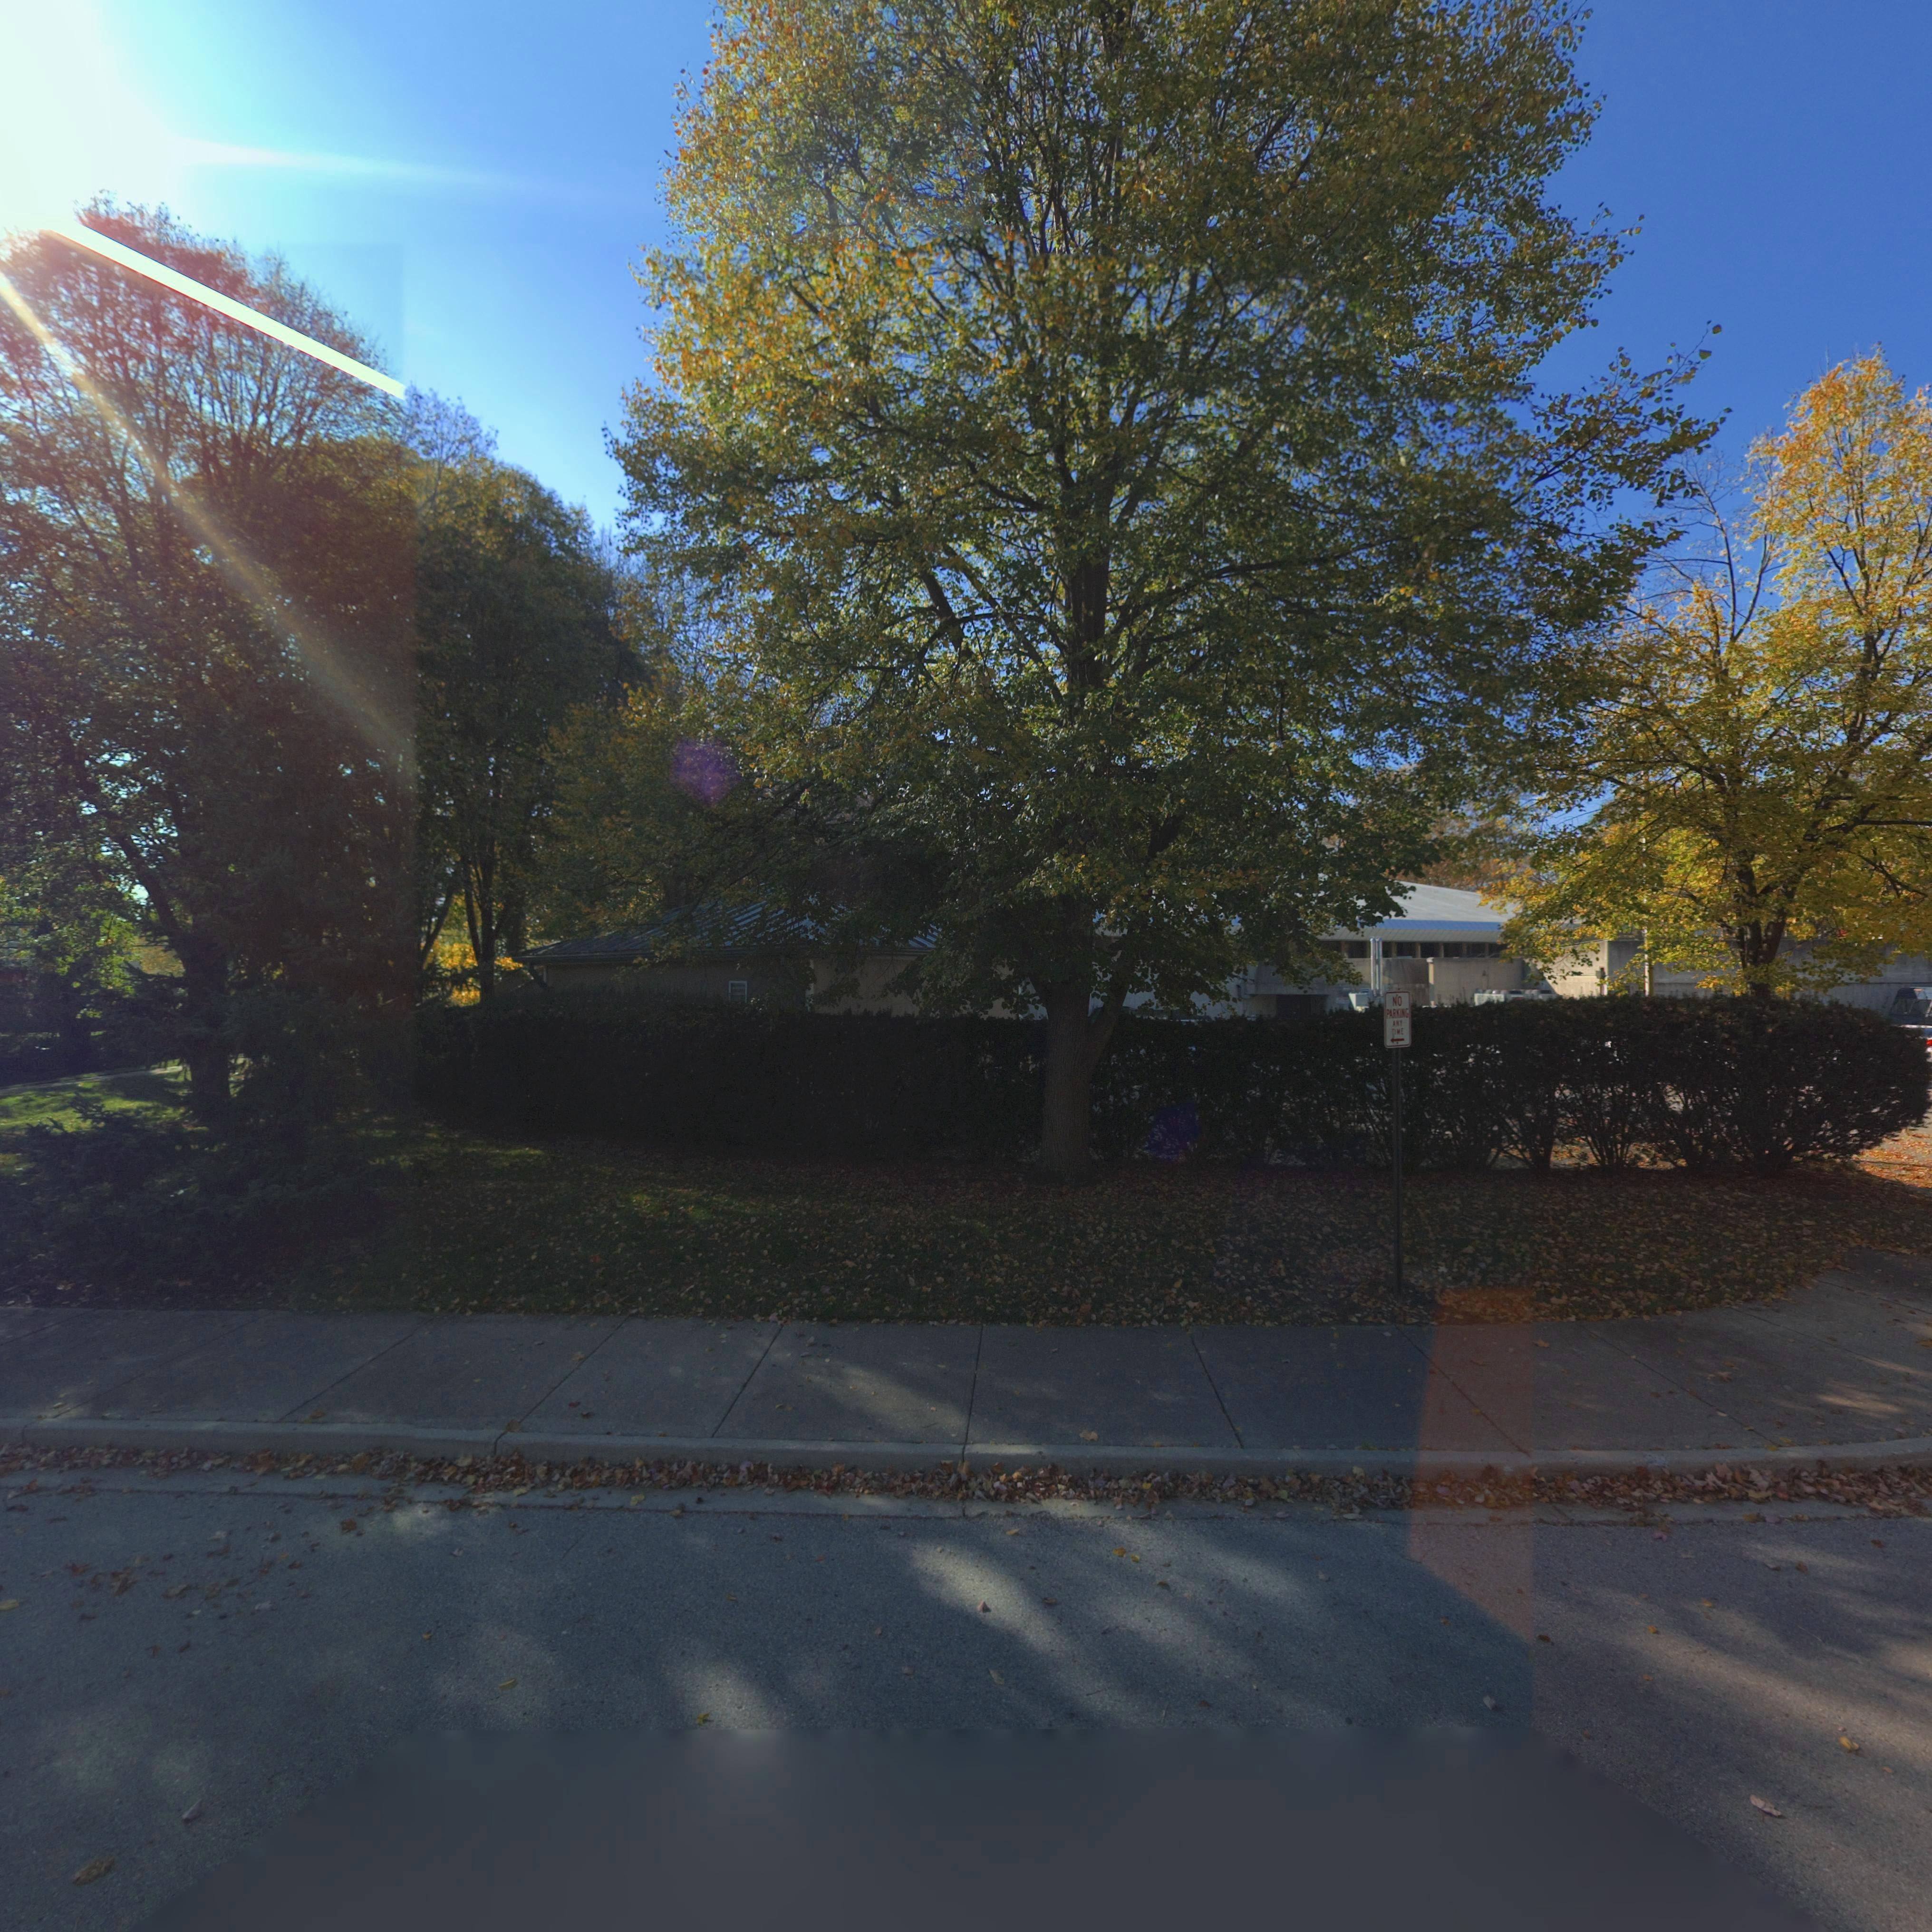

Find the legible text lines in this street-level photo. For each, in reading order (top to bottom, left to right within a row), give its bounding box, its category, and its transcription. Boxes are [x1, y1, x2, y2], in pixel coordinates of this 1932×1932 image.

[1391, 995, 1402, 1006] None: NO
[1386, 1008, 1409, 1019] None: PARKING
[1391, 1019, 1403, 1027] None: ANY
[1391, 1027, 1404, 1035] None: TIME